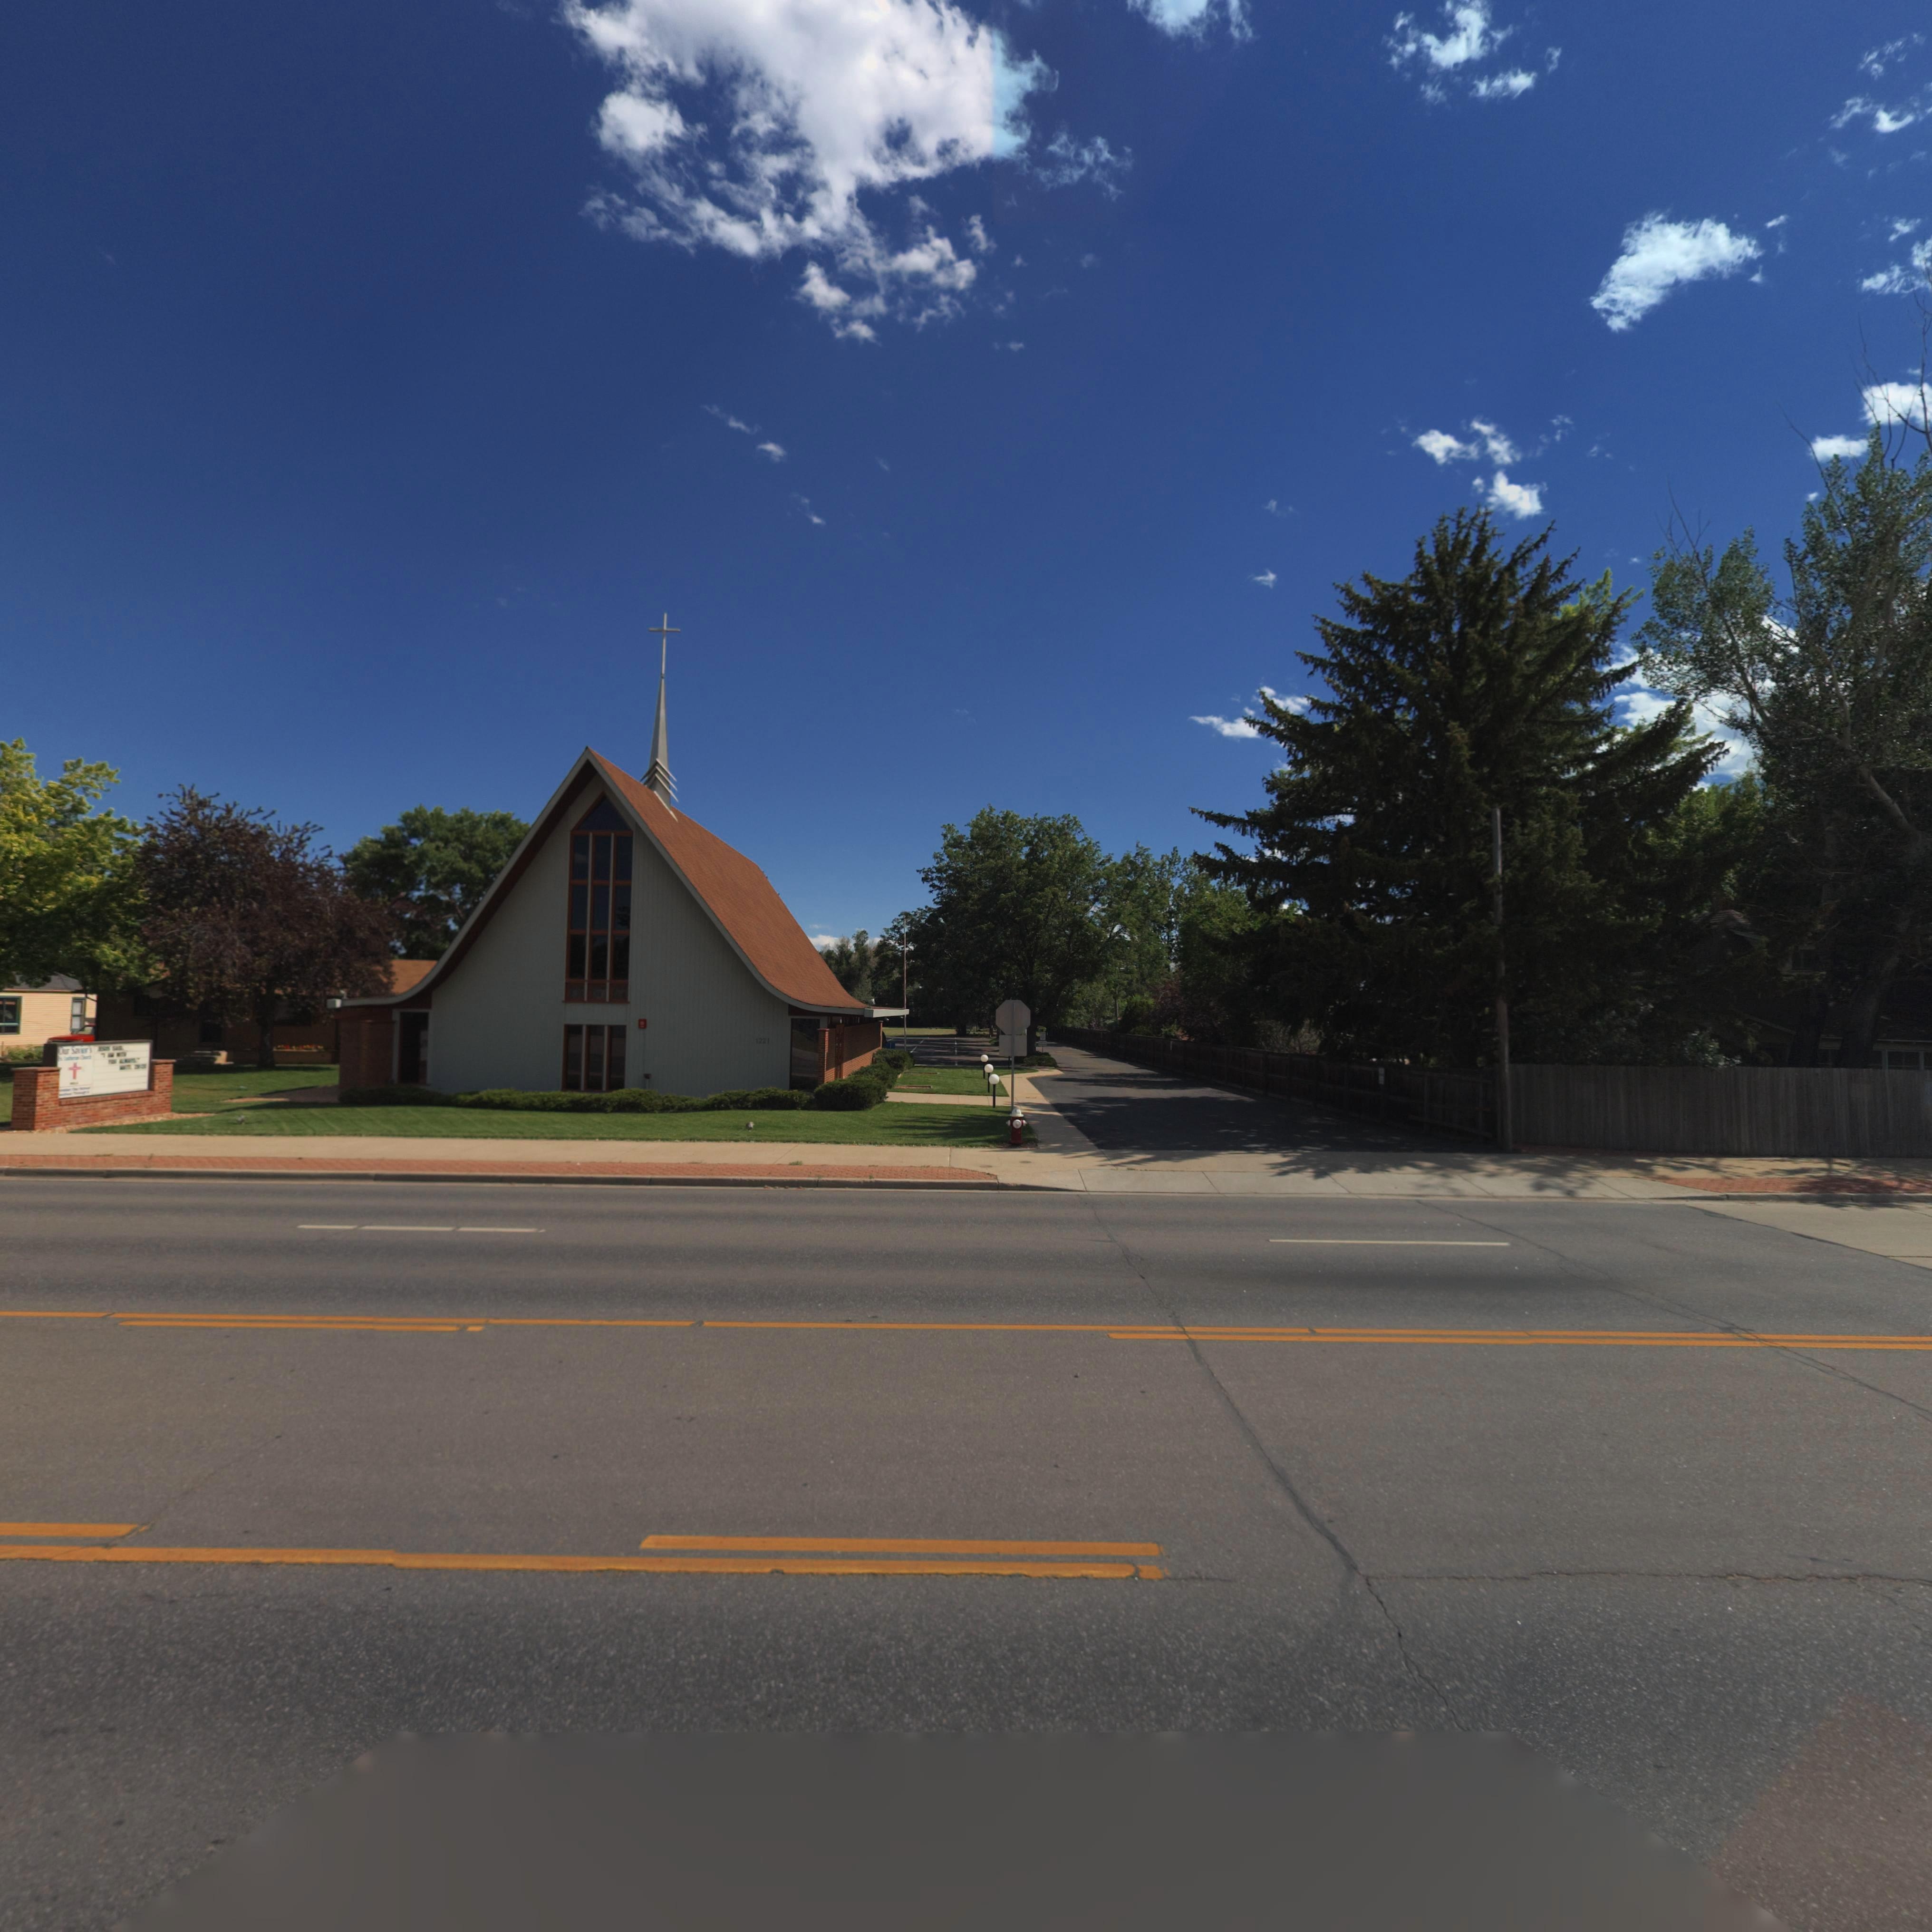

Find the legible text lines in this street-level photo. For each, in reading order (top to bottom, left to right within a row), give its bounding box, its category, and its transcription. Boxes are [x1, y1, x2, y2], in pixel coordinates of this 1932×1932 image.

[755, 1037, 770, 1044] StreetNumber: 1221
[57, 1045, 93, 1055] BusinessName: Our Savior's
[57, 1054, 92, 1061] BusinessName: Ex Lutheran Church